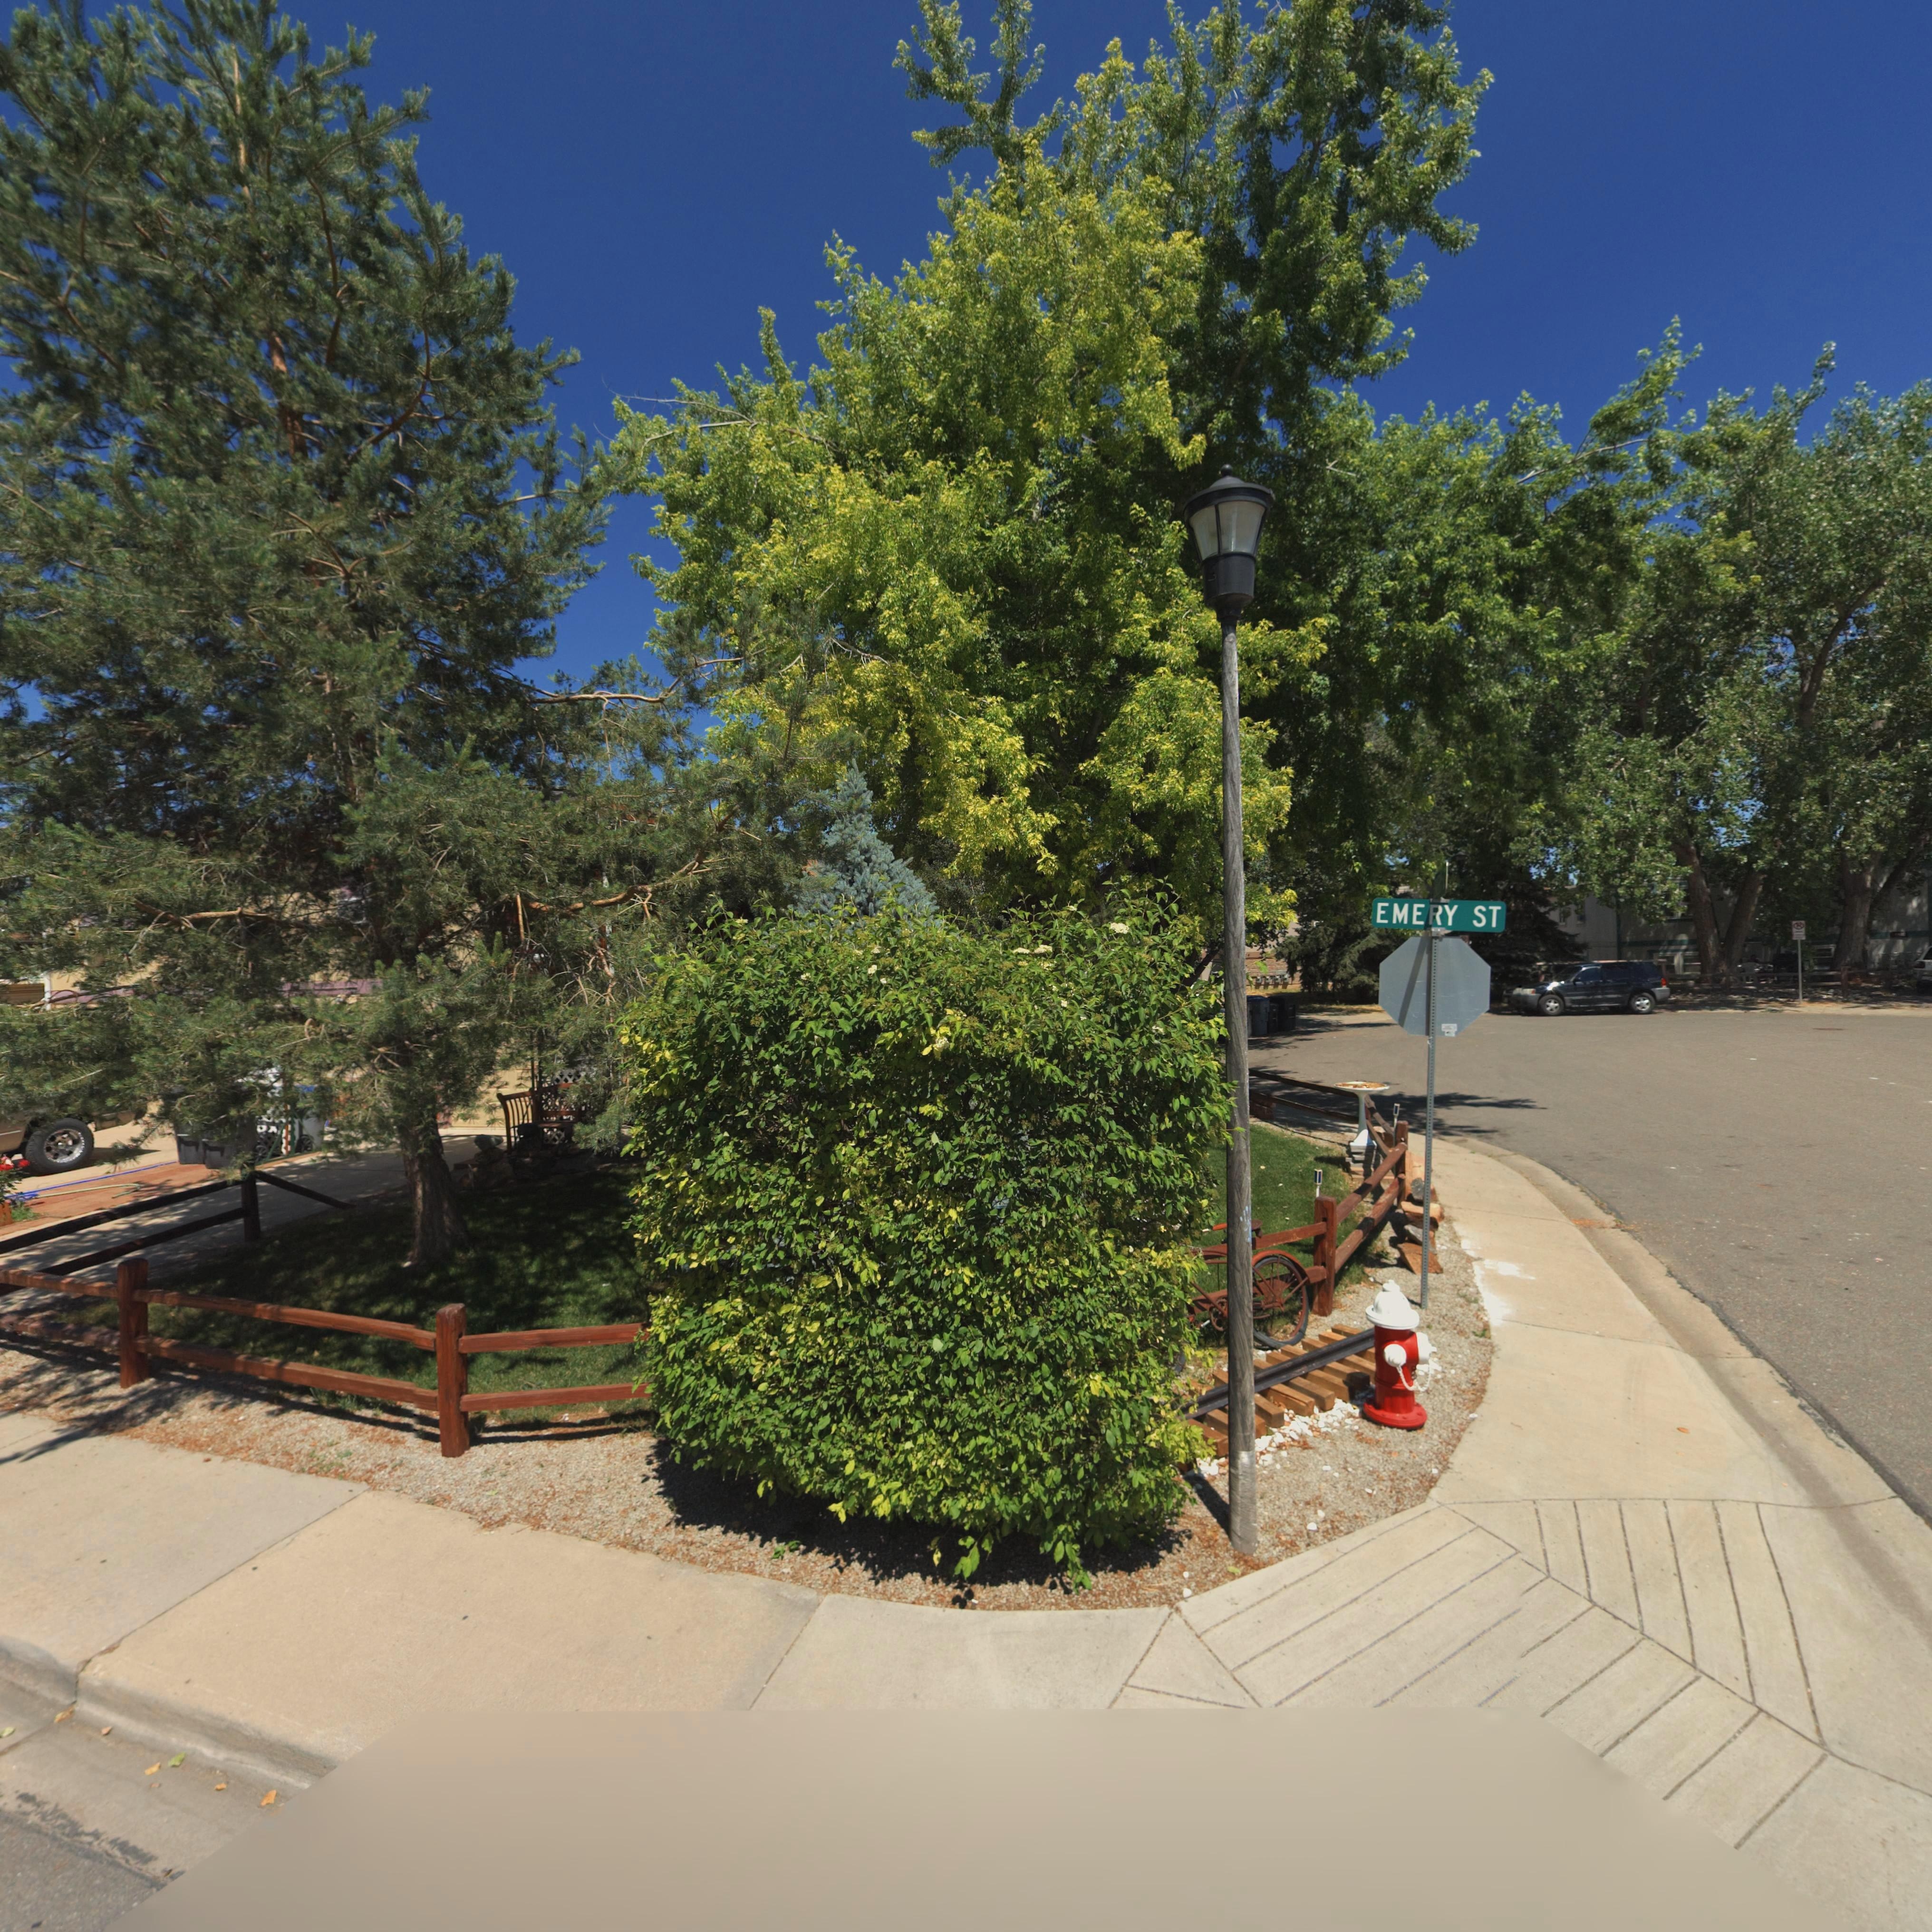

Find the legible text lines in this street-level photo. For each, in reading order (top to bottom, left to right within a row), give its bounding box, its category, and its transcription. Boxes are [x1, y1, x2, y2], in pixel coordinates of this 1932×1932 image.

[1375, 901, 1502, 928] StreetName: EMERY ST